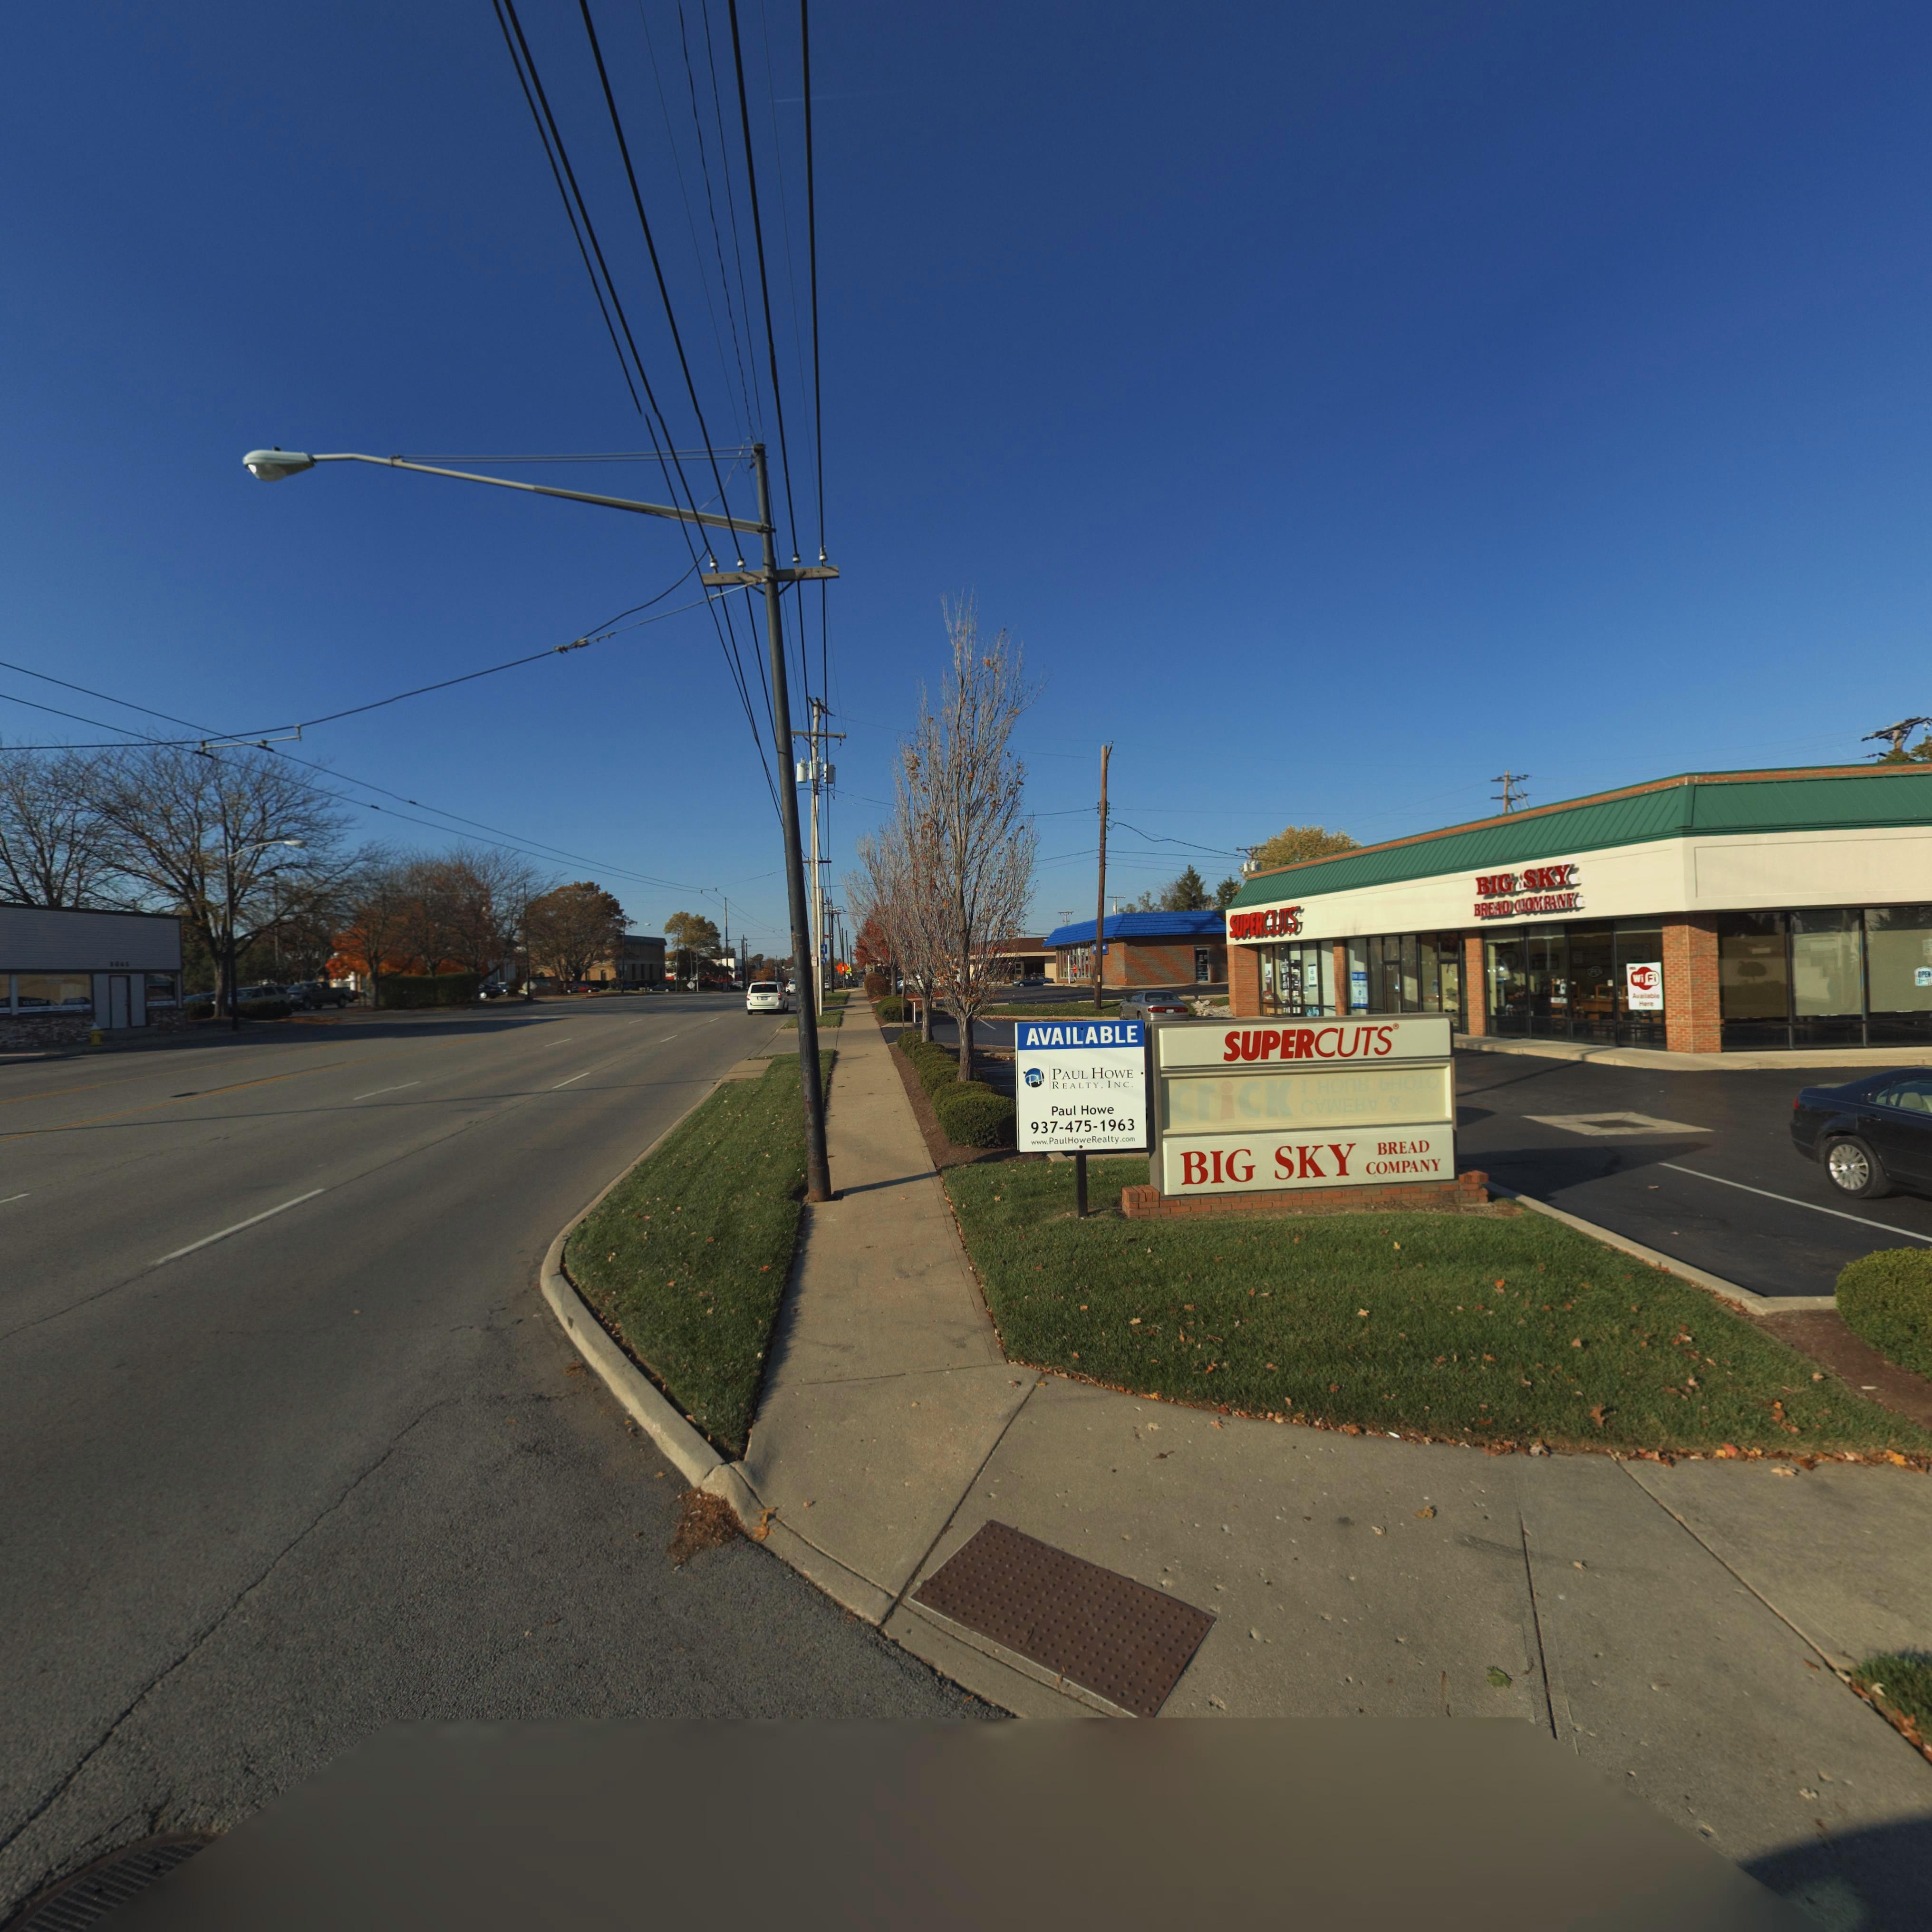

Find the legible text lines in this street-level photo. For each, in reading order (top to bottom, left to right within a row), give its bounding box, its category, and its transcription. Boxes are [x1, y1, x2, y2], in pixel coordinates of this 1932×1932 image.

[1475, 862, 1573, 896] BusinessName: BIG *SKY
[1473, 891, 1578, 918] BusinessName: BREAD C*OMPANY
[1228, 905, 1301, 939] BusinessName: SUPERCUTS
[109, 961, 130, 967] StreetNumber: *065
[1222, 1024, 1395, 1062] BusinessName: SUPERCUTS
[1178, 1142, 1357, 1186] BusinessName: BIG SKY
[1376, 1139, 1430, 1156] BusinessName: BREAD
[1364, 1158, 1443, 1176] BusinessName: COMPANY